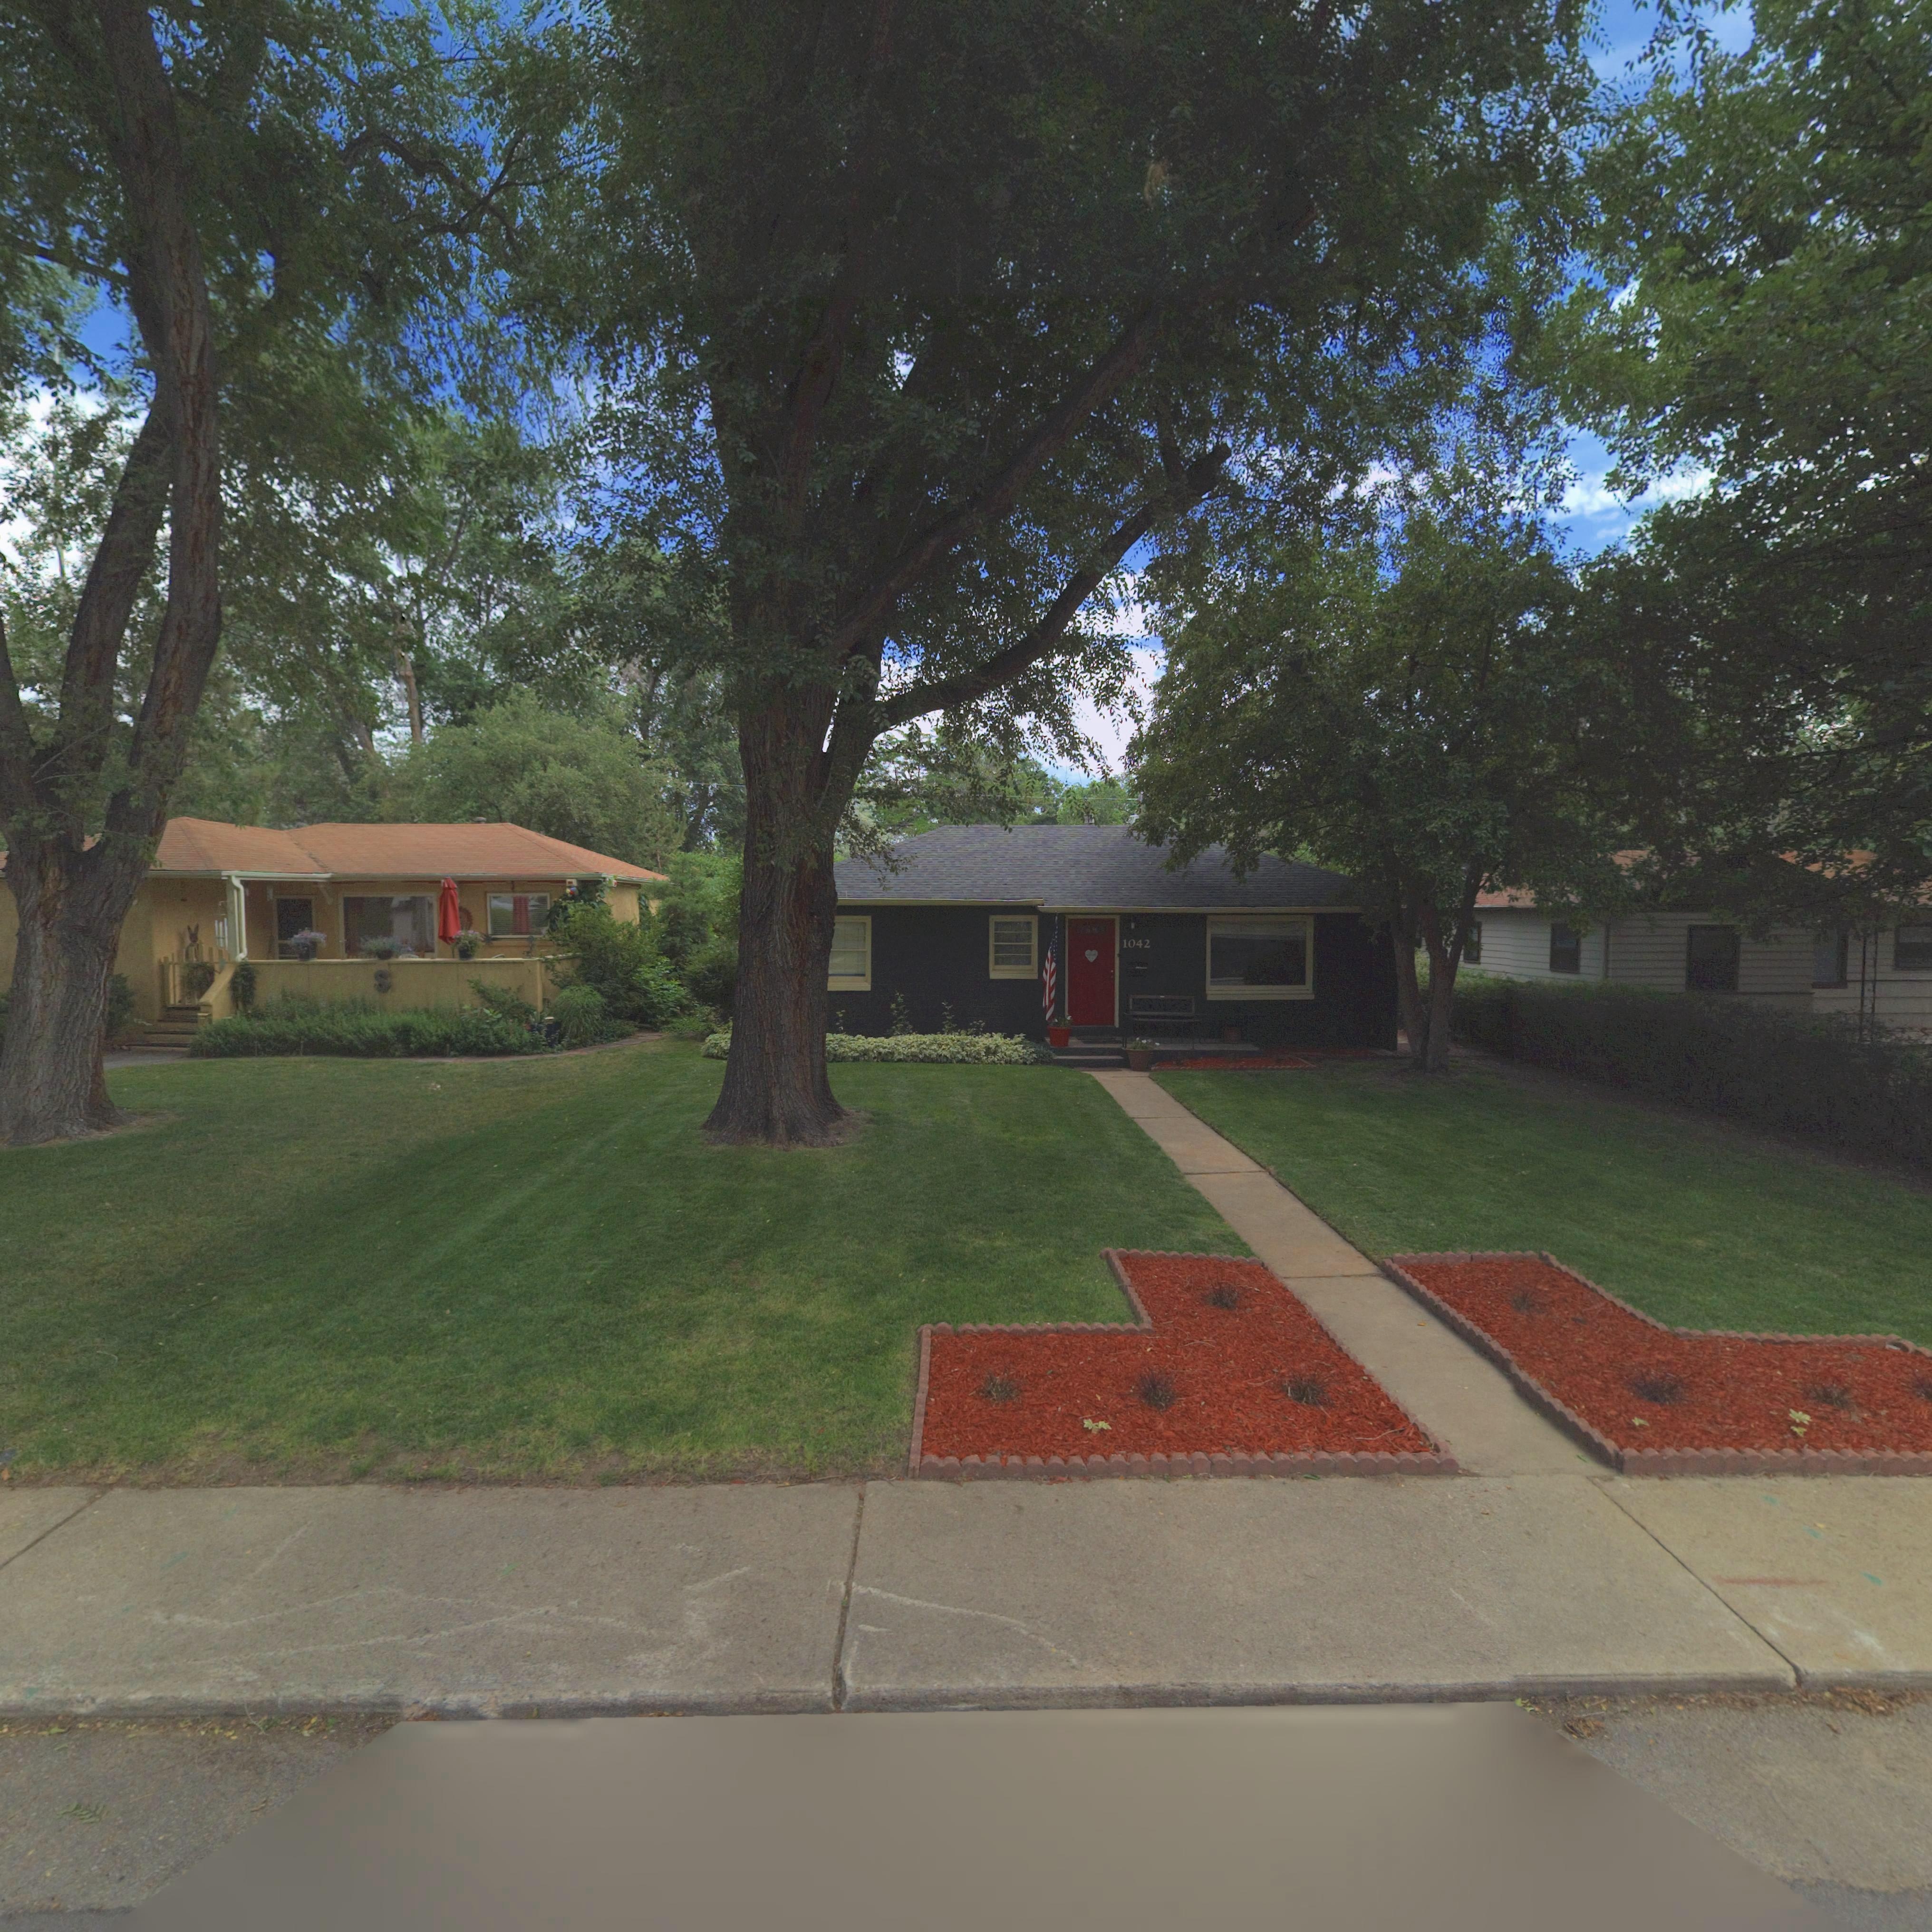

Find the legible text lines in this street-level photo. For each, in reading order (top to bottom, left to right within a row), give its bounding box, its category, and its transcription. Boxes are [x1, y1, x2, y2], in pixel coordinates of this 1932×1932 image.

[1123, 939, 1150, 947] StreetNumber: 1042